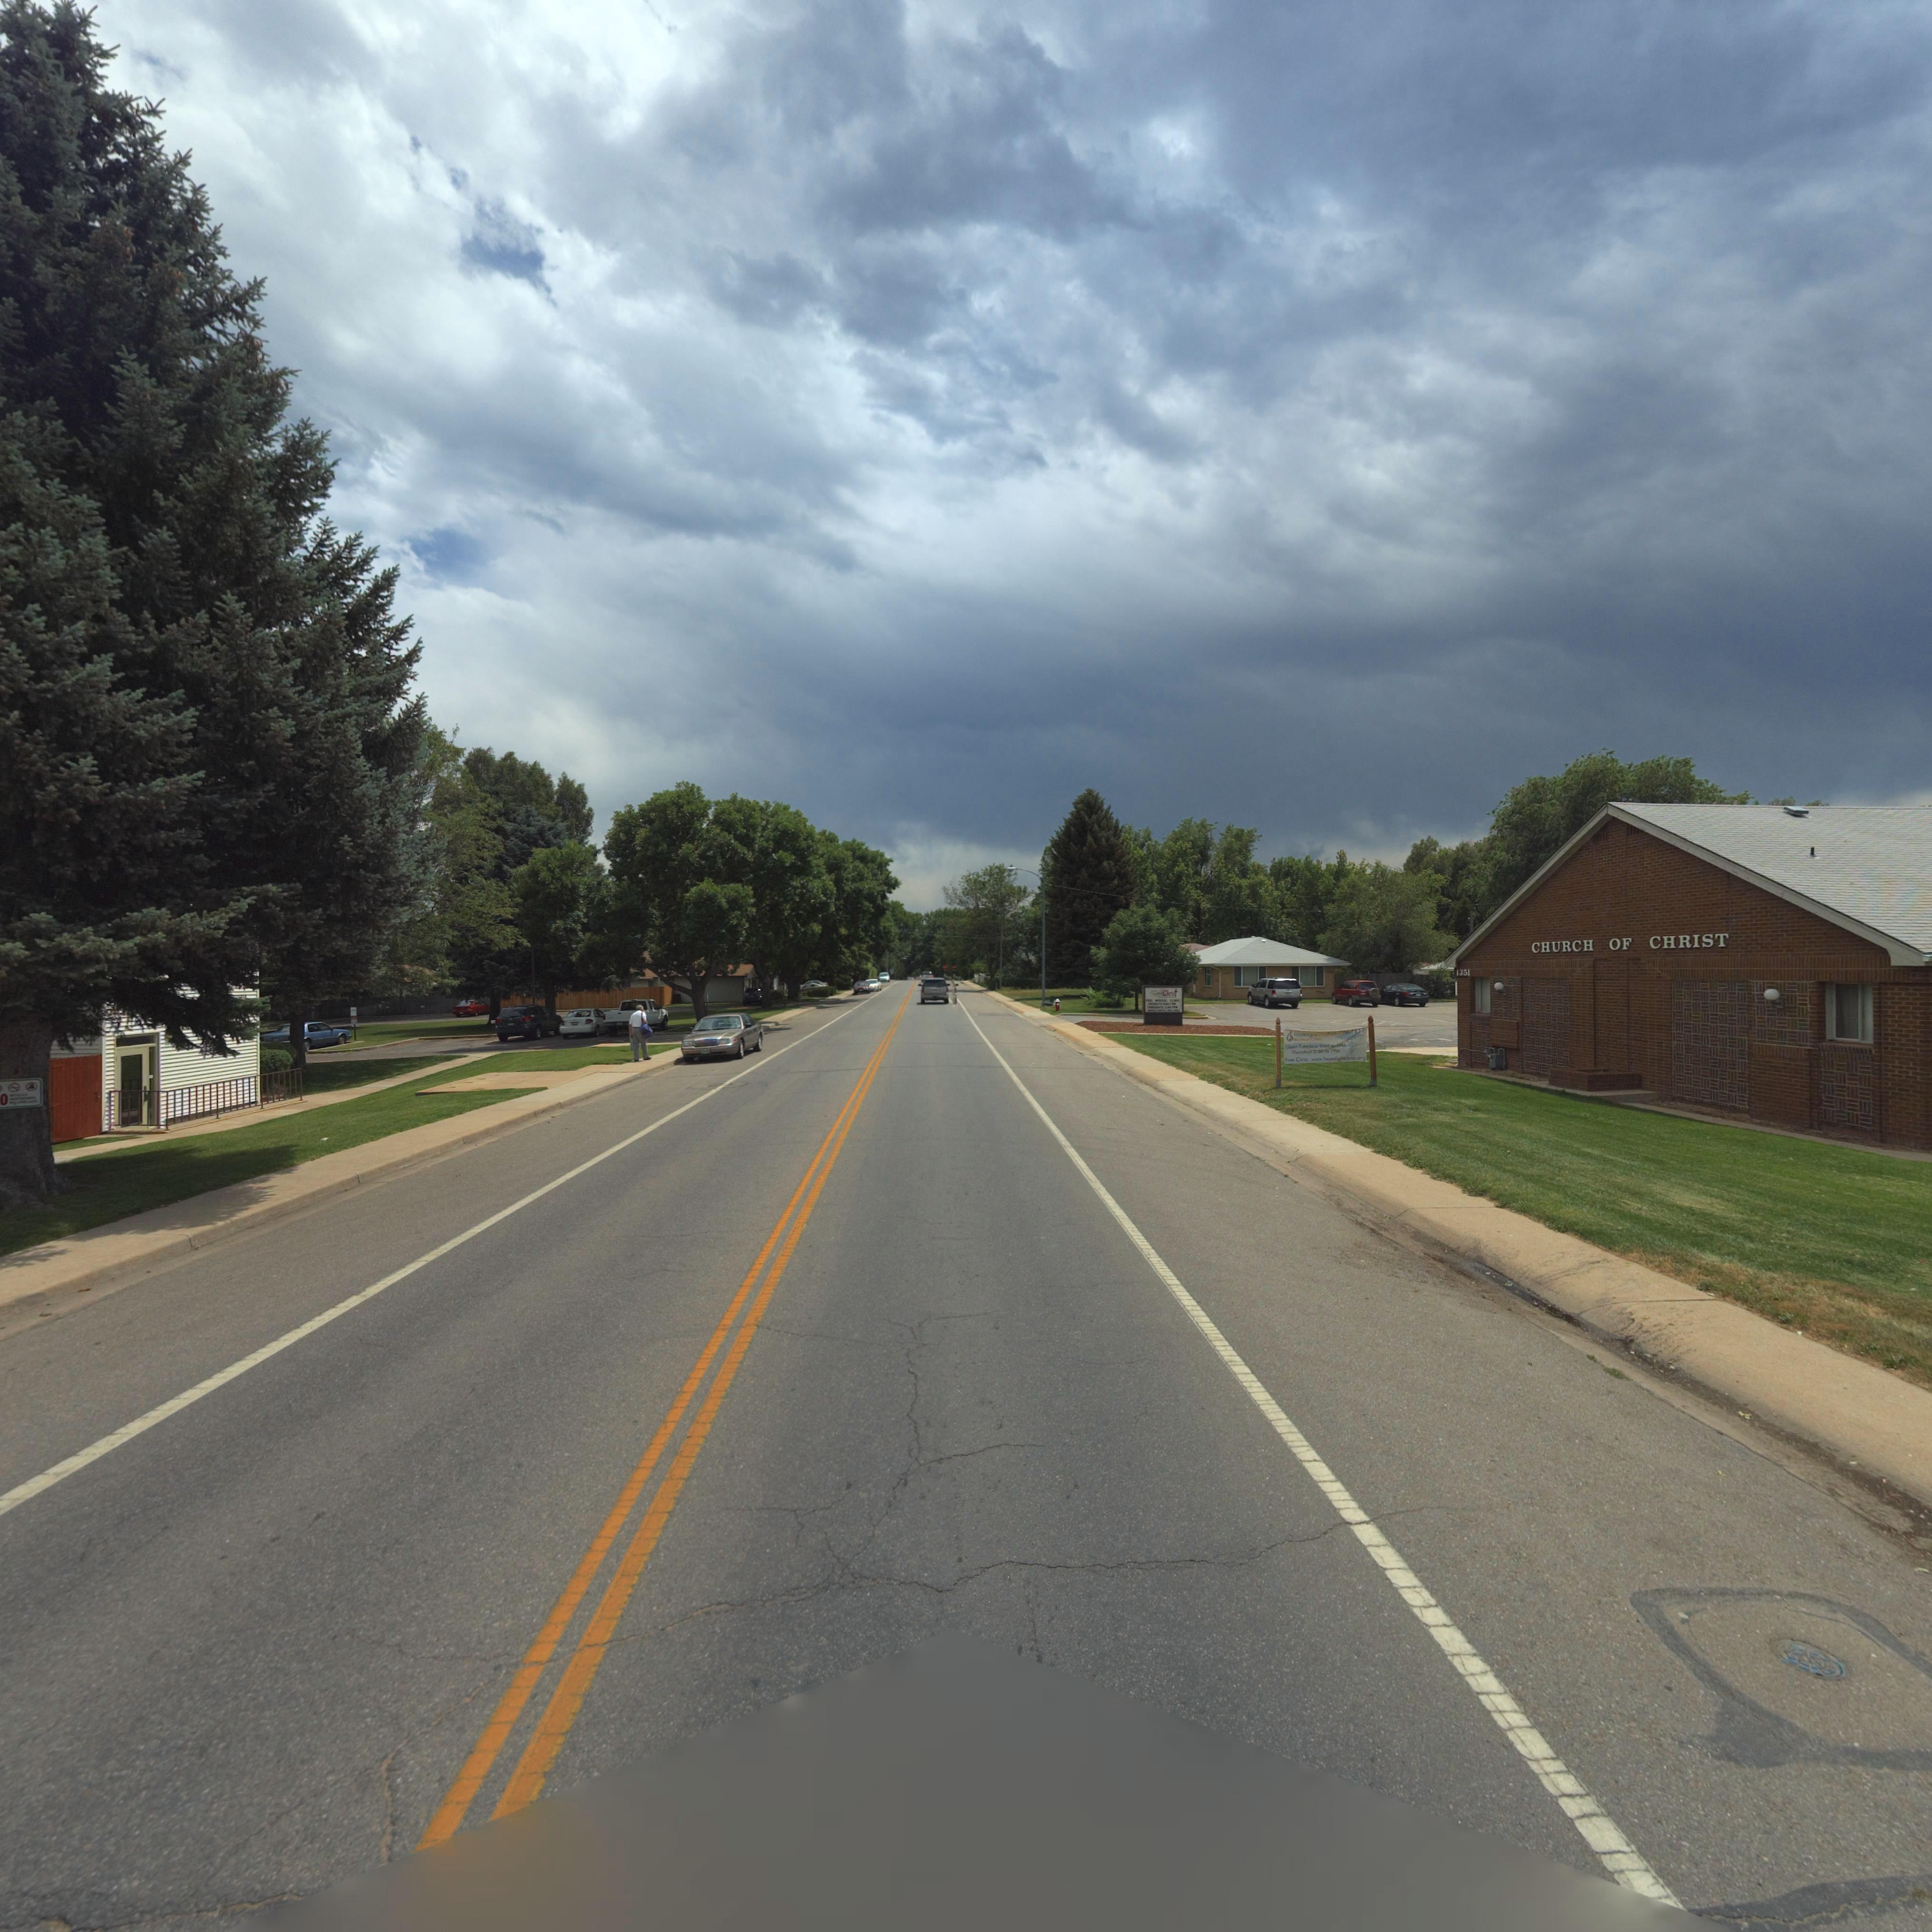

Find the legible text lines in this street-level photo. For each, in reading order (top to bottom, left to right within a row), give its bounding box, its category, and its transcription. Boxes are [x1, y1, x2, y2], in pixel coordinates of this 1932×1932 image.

[1531, 932, 1730, 953] BusinessName: CHURCH OF CHRIST
[1455, 968, 1471, 977] StreetNumber: 1351
[1149, 988, 1178, 998] BusinessName: Chu*** Christ